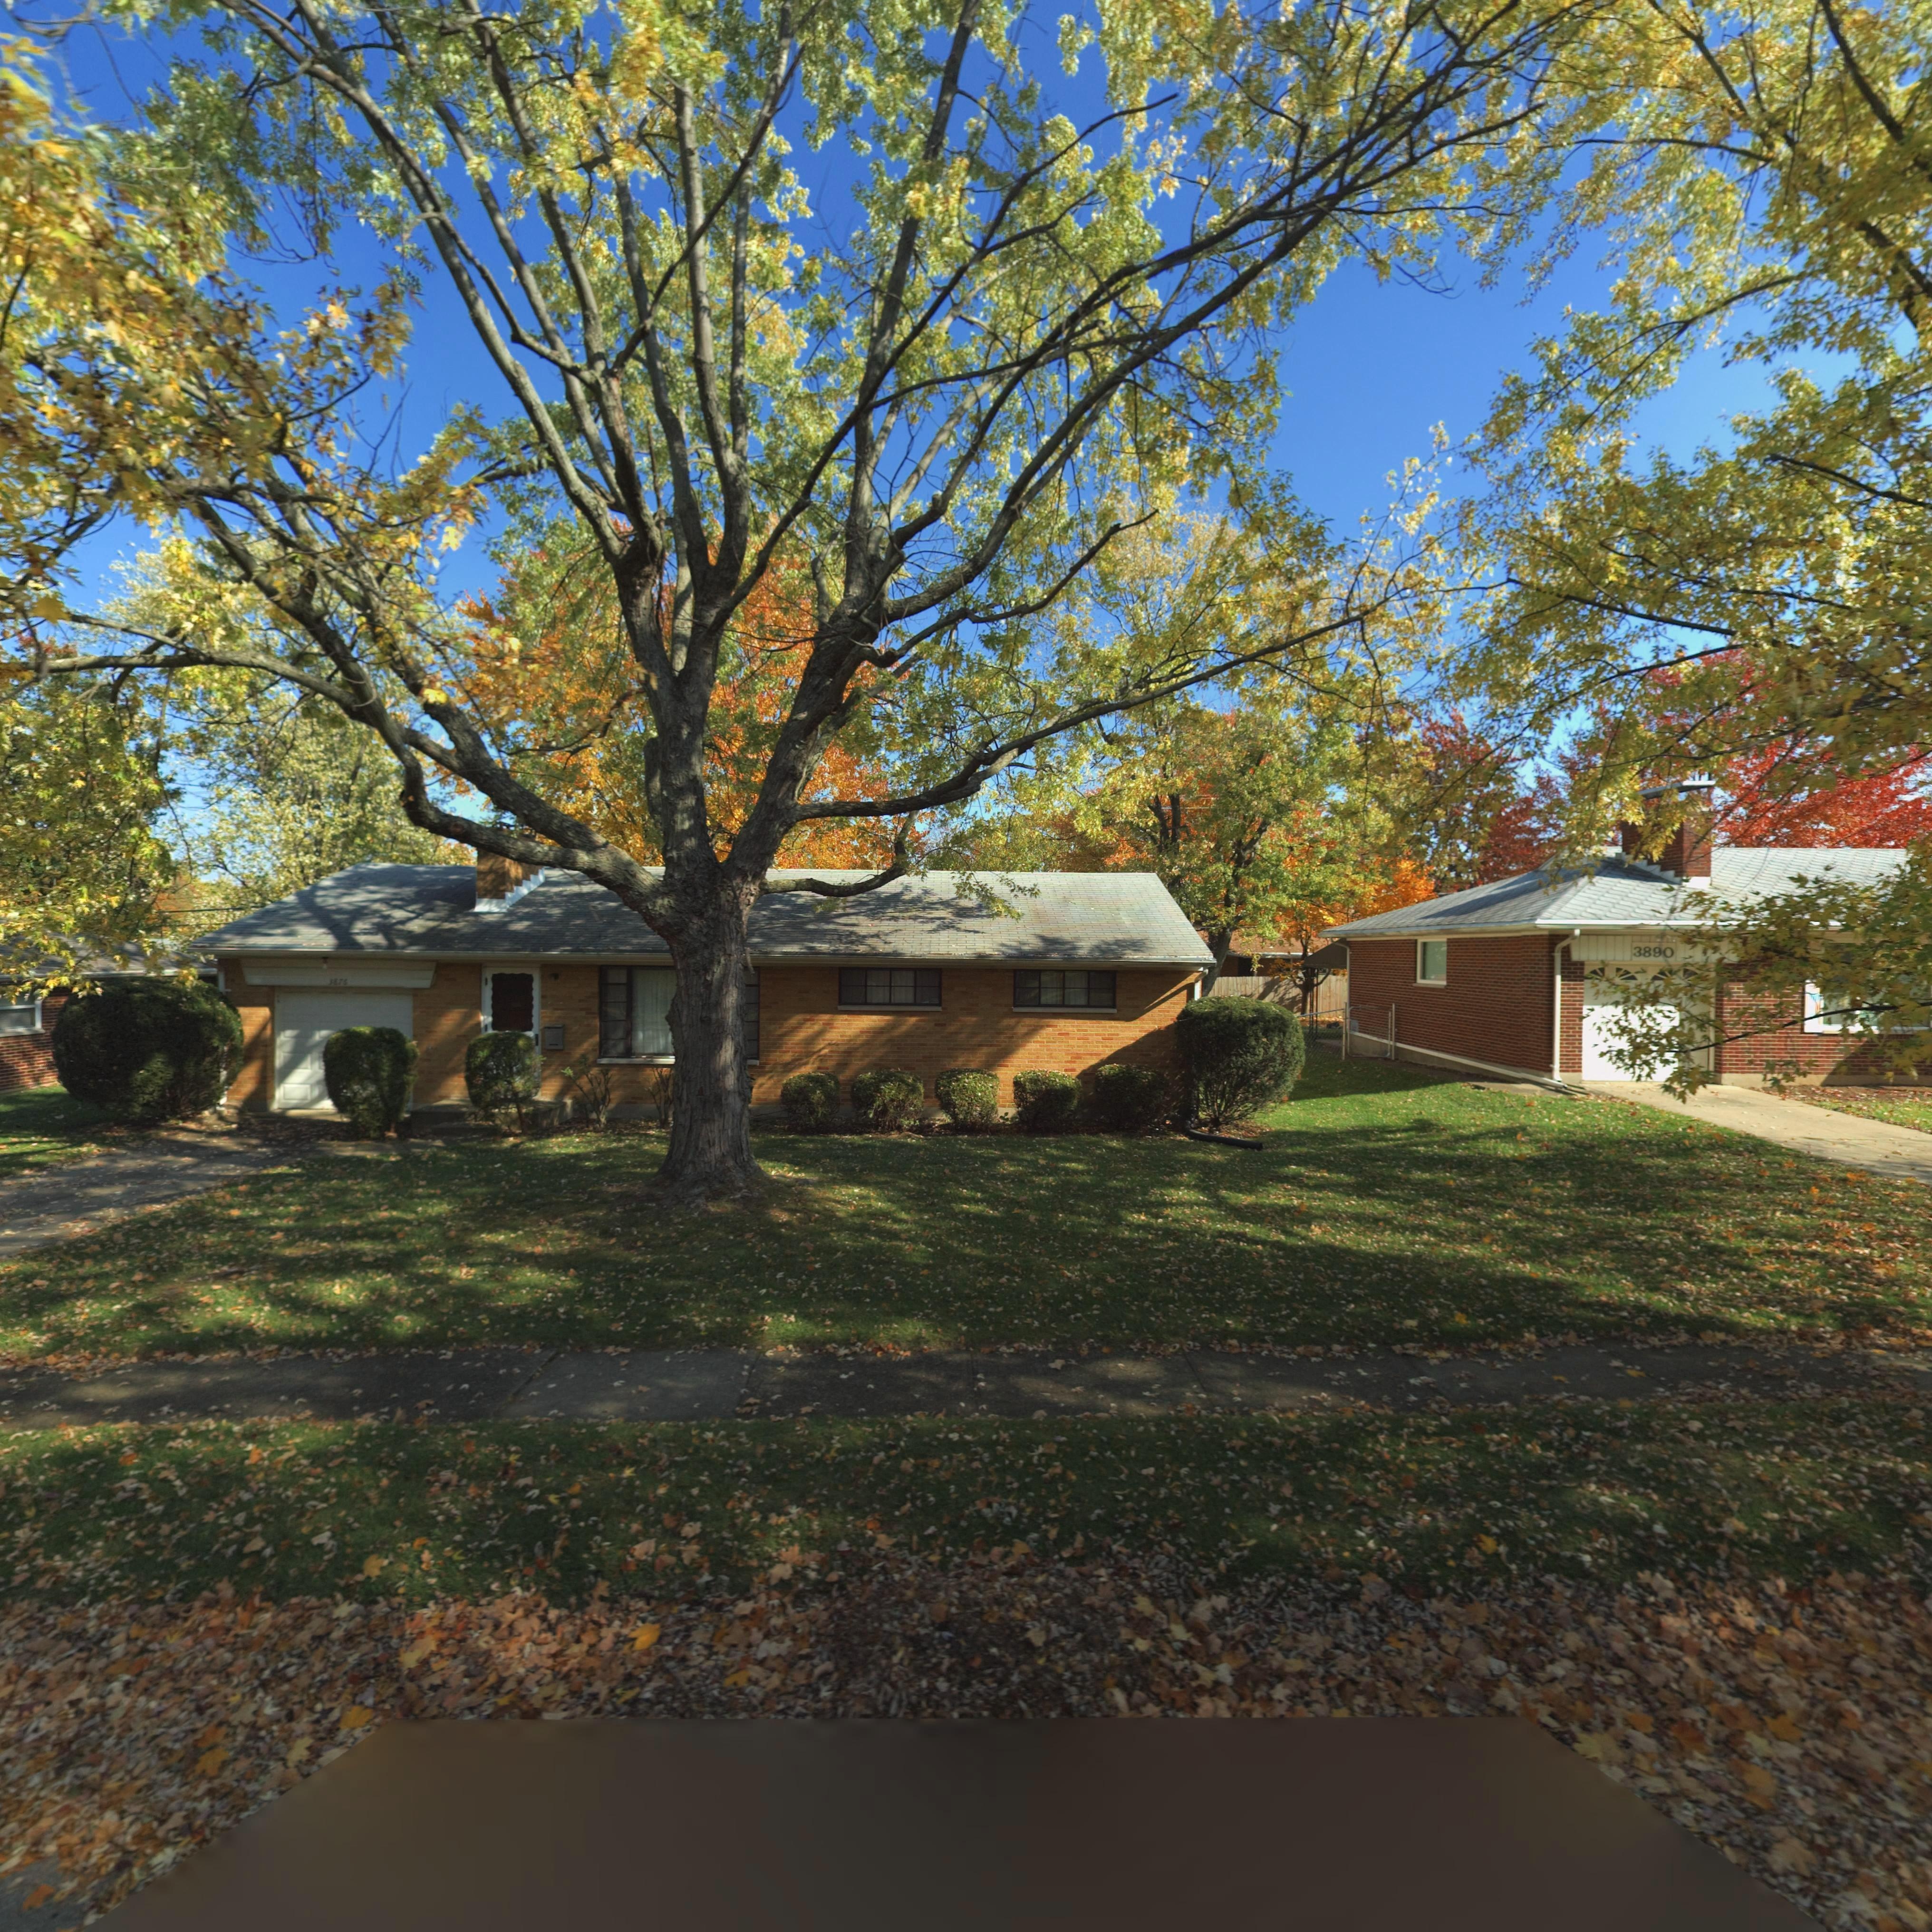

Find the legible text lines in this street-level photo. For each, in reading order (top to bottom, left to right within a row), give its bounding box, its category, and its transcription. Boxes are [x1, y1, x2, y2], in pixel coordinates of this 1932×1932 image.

[1633, 946, 1675, 959] StreetNumber: 3890
[328, 977, 348, 986] StreetNumber: *876